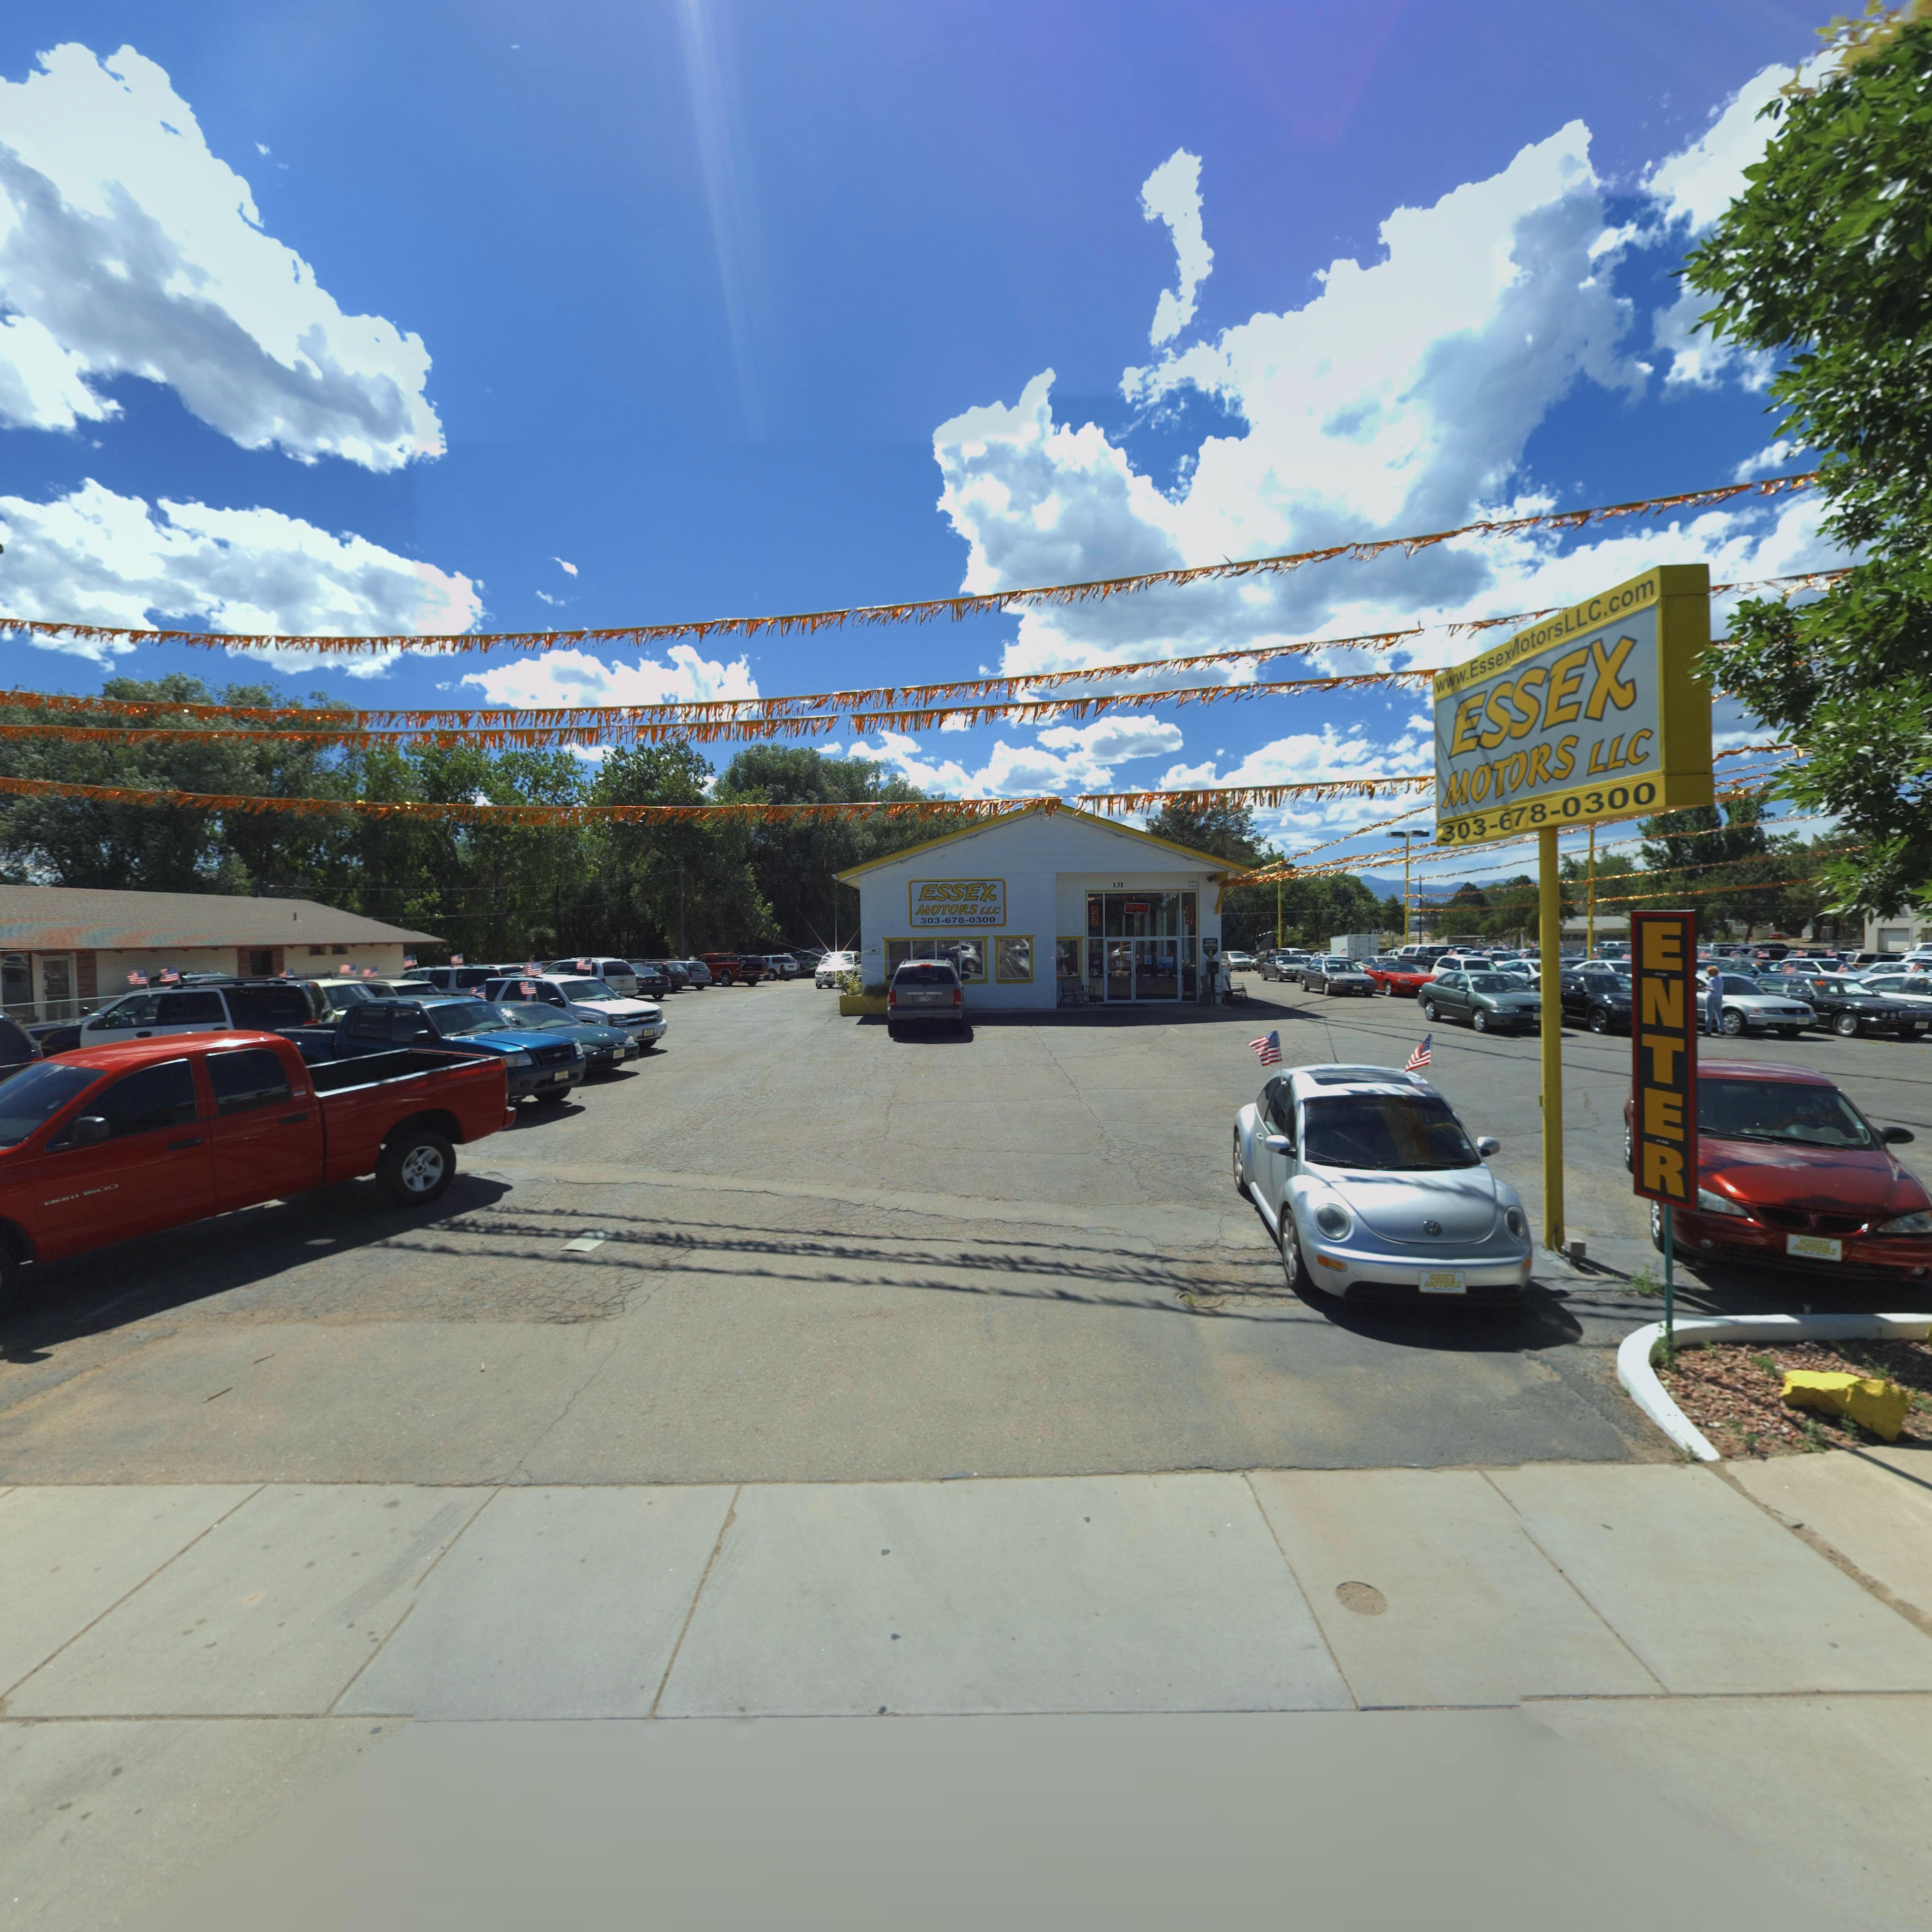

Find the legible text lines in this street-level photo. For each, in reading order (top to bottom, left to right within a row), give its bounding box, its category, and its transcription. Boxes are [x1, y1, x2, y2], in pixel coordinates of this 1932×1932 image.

[1446, 634, 1640, 761] BusinessName: ESSEX
[1439, 727, 1655, 811] BusinessName: MOTORS LLC
[917, 882, 997, 902] BusinessName: ESSEX
[1112, 881, 1124, 888] StreetNumber: 131
[913, 903, 1001, 916] BusinessName: MOTORS LLC